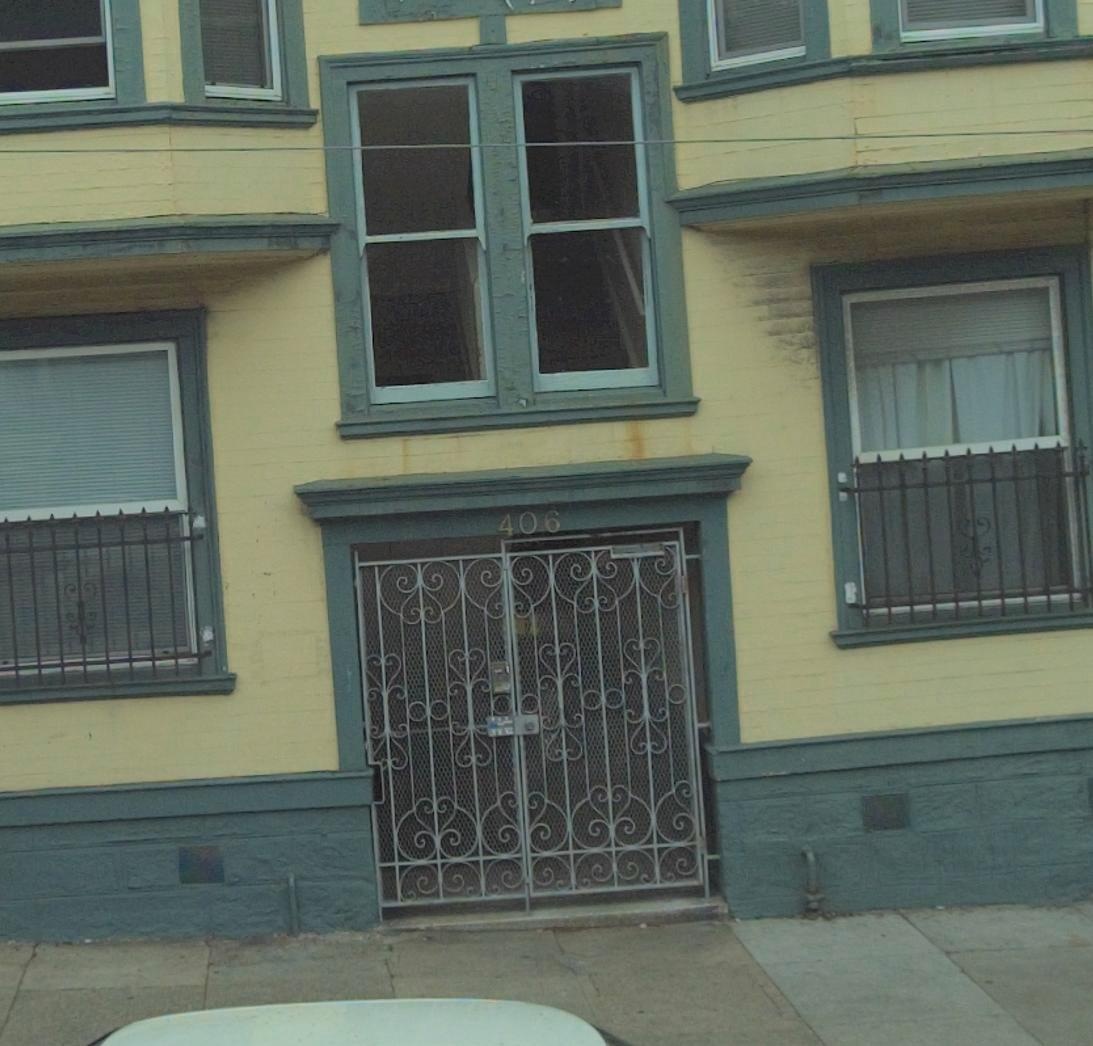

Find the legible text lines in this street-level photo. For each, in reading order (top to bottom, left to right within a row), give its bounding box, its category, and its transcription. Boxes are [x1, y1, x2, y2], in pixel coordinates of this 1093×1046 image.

[497, 509, 562, 535] StreetNumber: 406